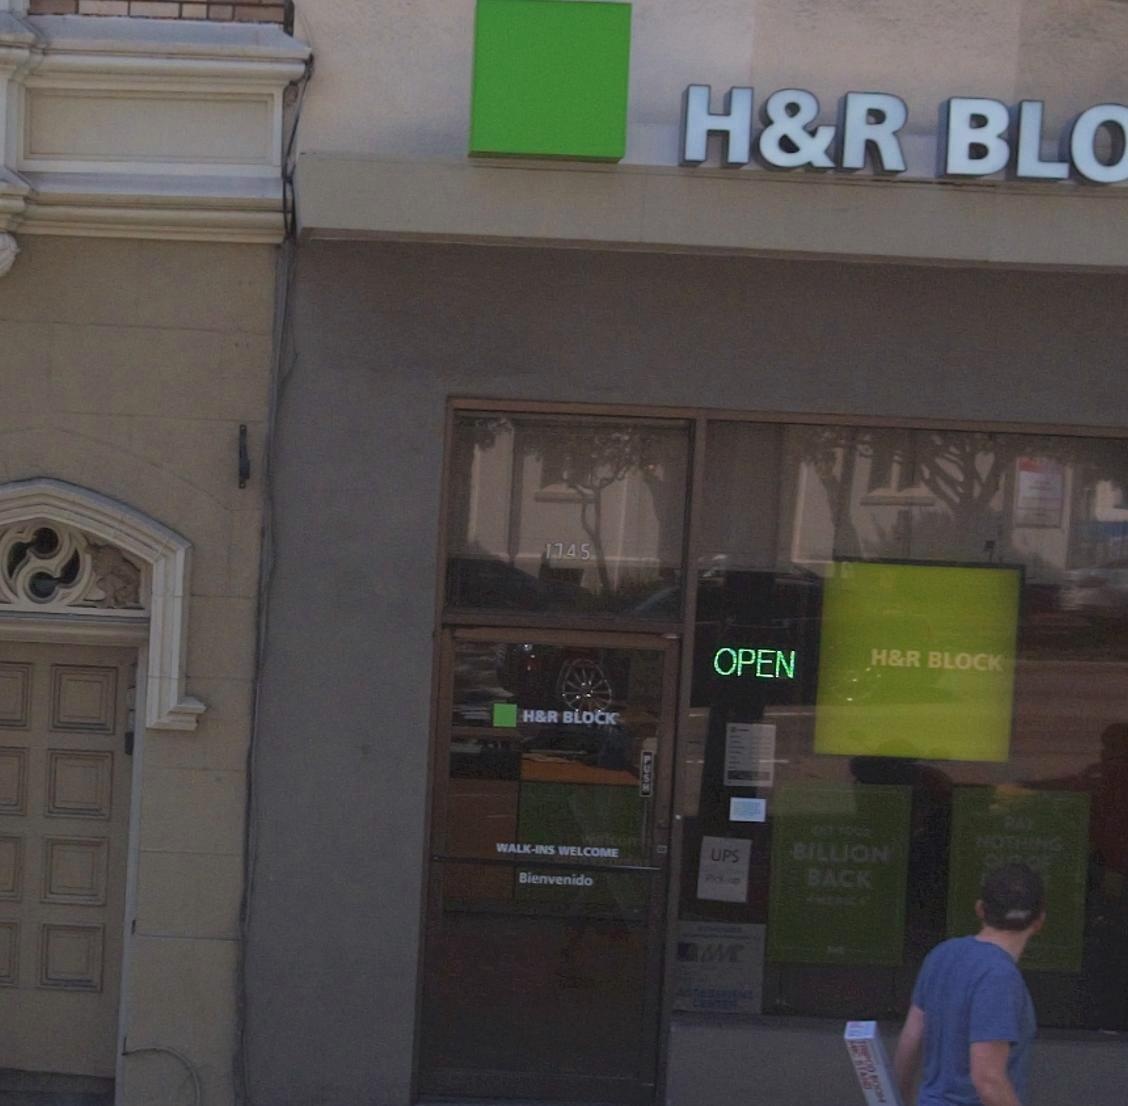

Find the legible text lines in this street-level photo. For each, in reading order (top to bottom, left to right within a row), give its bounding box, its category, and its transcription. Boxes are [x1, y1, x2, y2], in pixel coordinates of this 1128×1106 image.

[681, 82, 1072, 183] BusinessName: H&R BL
[544, 542, 591, 561] StreetNumber: 1745
[713, 646, 797, 681] None: OPEN
[869, 647, 1004, 672] BusinessName: H&R BLOCK
[522, 709, 618, 726] BusinessName: H&R BLOCK
[641, 754, 652, 793] None: PUSH
[1002, 814, 1038, 832] None: PAY
[495, 842, 619, 858] None: WALK-INS WELCOME
[710, 846, 741, 864] None: UPS
[790, 840, 892, 866] None: BILLION
[975, 834, 1064, 852] None: NOTHING
[518, 870, 593, 887] None: Bienvenido
[805, 866, 872, 890] None: BACK